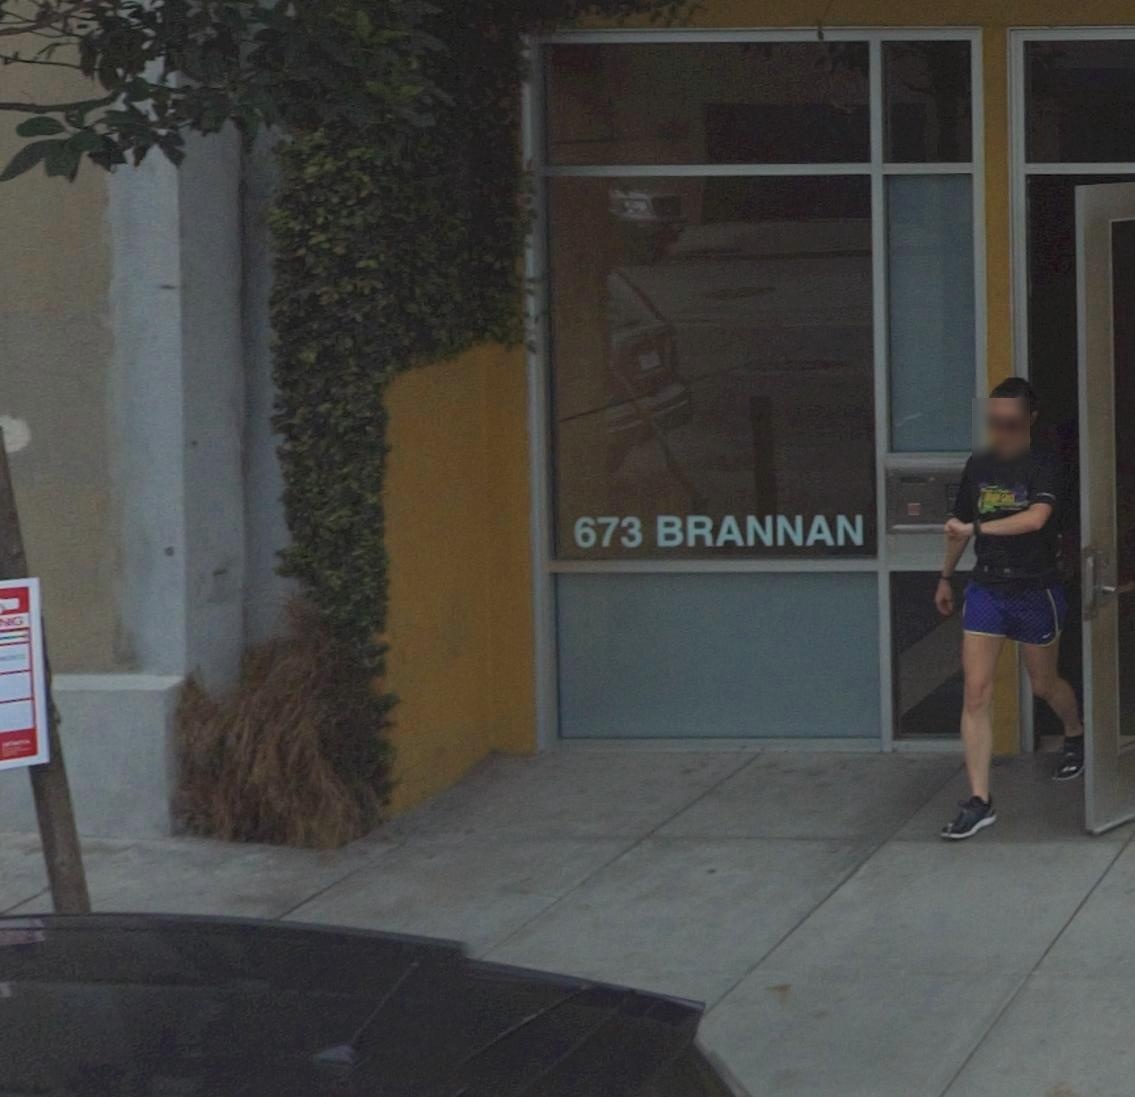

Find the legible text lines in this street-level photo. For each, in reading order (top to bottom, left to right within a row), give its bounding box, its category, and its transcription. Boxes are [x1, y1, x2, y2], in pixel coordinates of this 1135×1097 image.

[571, 513, 645, 551] StreetNumber: 673
[654, 512, 866, 550] StreetName: BRANNAN
[11, 613, 25, 628] None: G